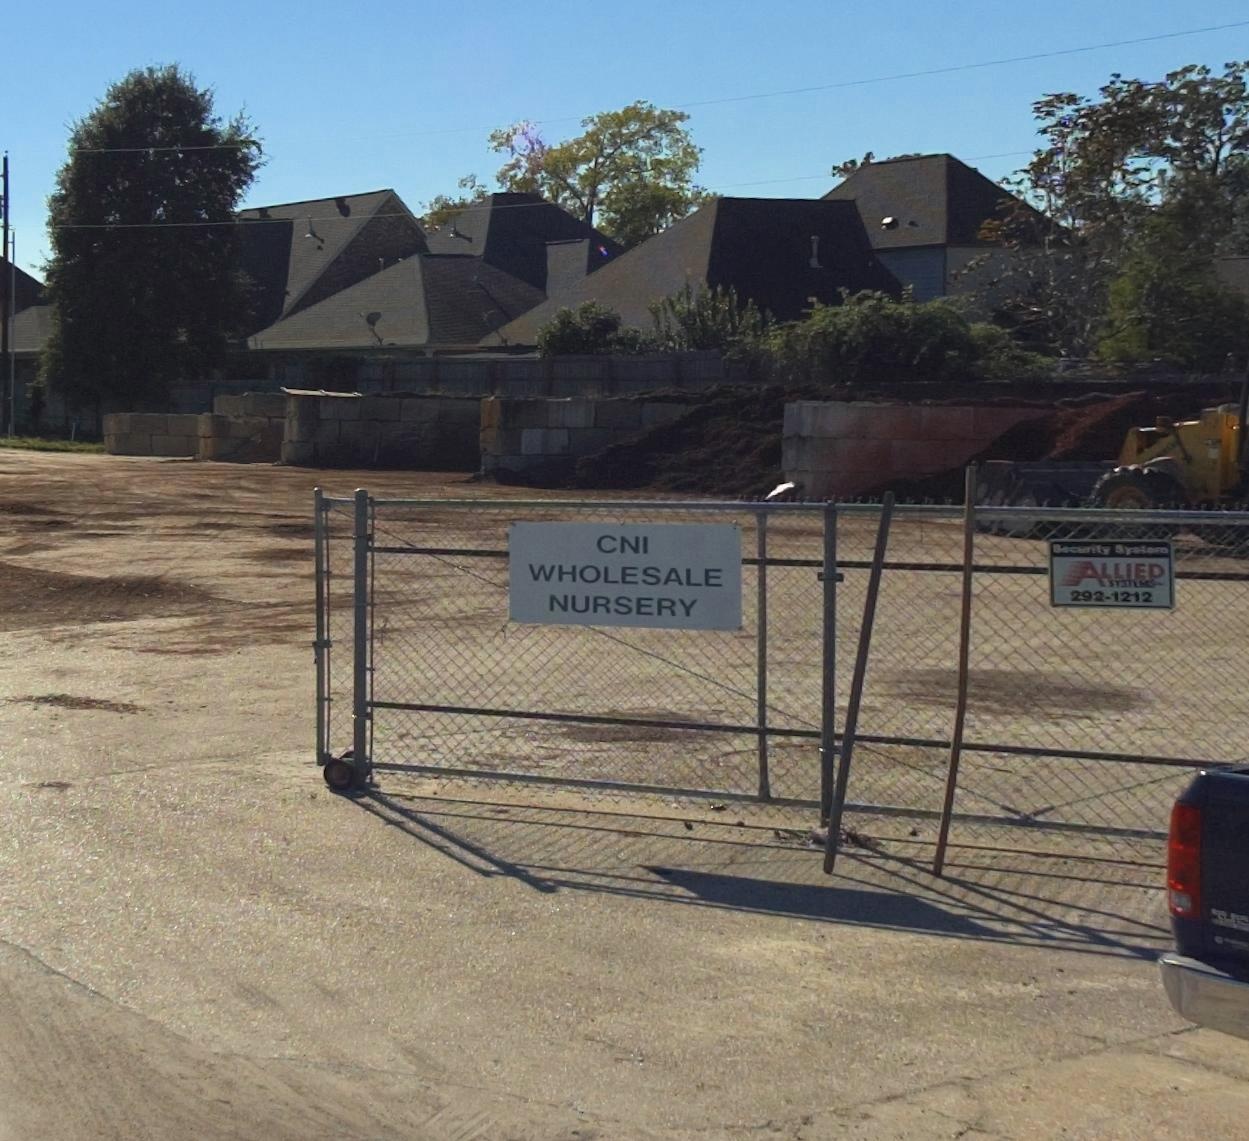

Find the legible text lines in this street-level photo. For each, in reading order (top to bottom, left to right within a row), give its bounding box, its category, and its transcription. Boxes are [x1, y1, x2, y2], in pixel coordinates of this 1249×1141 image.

[595, 532, 652, 557] BusinessName: CNI
[1050, 540, 1171, 558] None: Security System
[525, 561, 725, 590] BusinessName: WHOLESALE
[1068, 558, 1169, 590] BusinessName: ALLIED
[546, 590, 702, 619] BusinessName: NURSERY
[1066, 587, 1156, 605] None: 292-1212